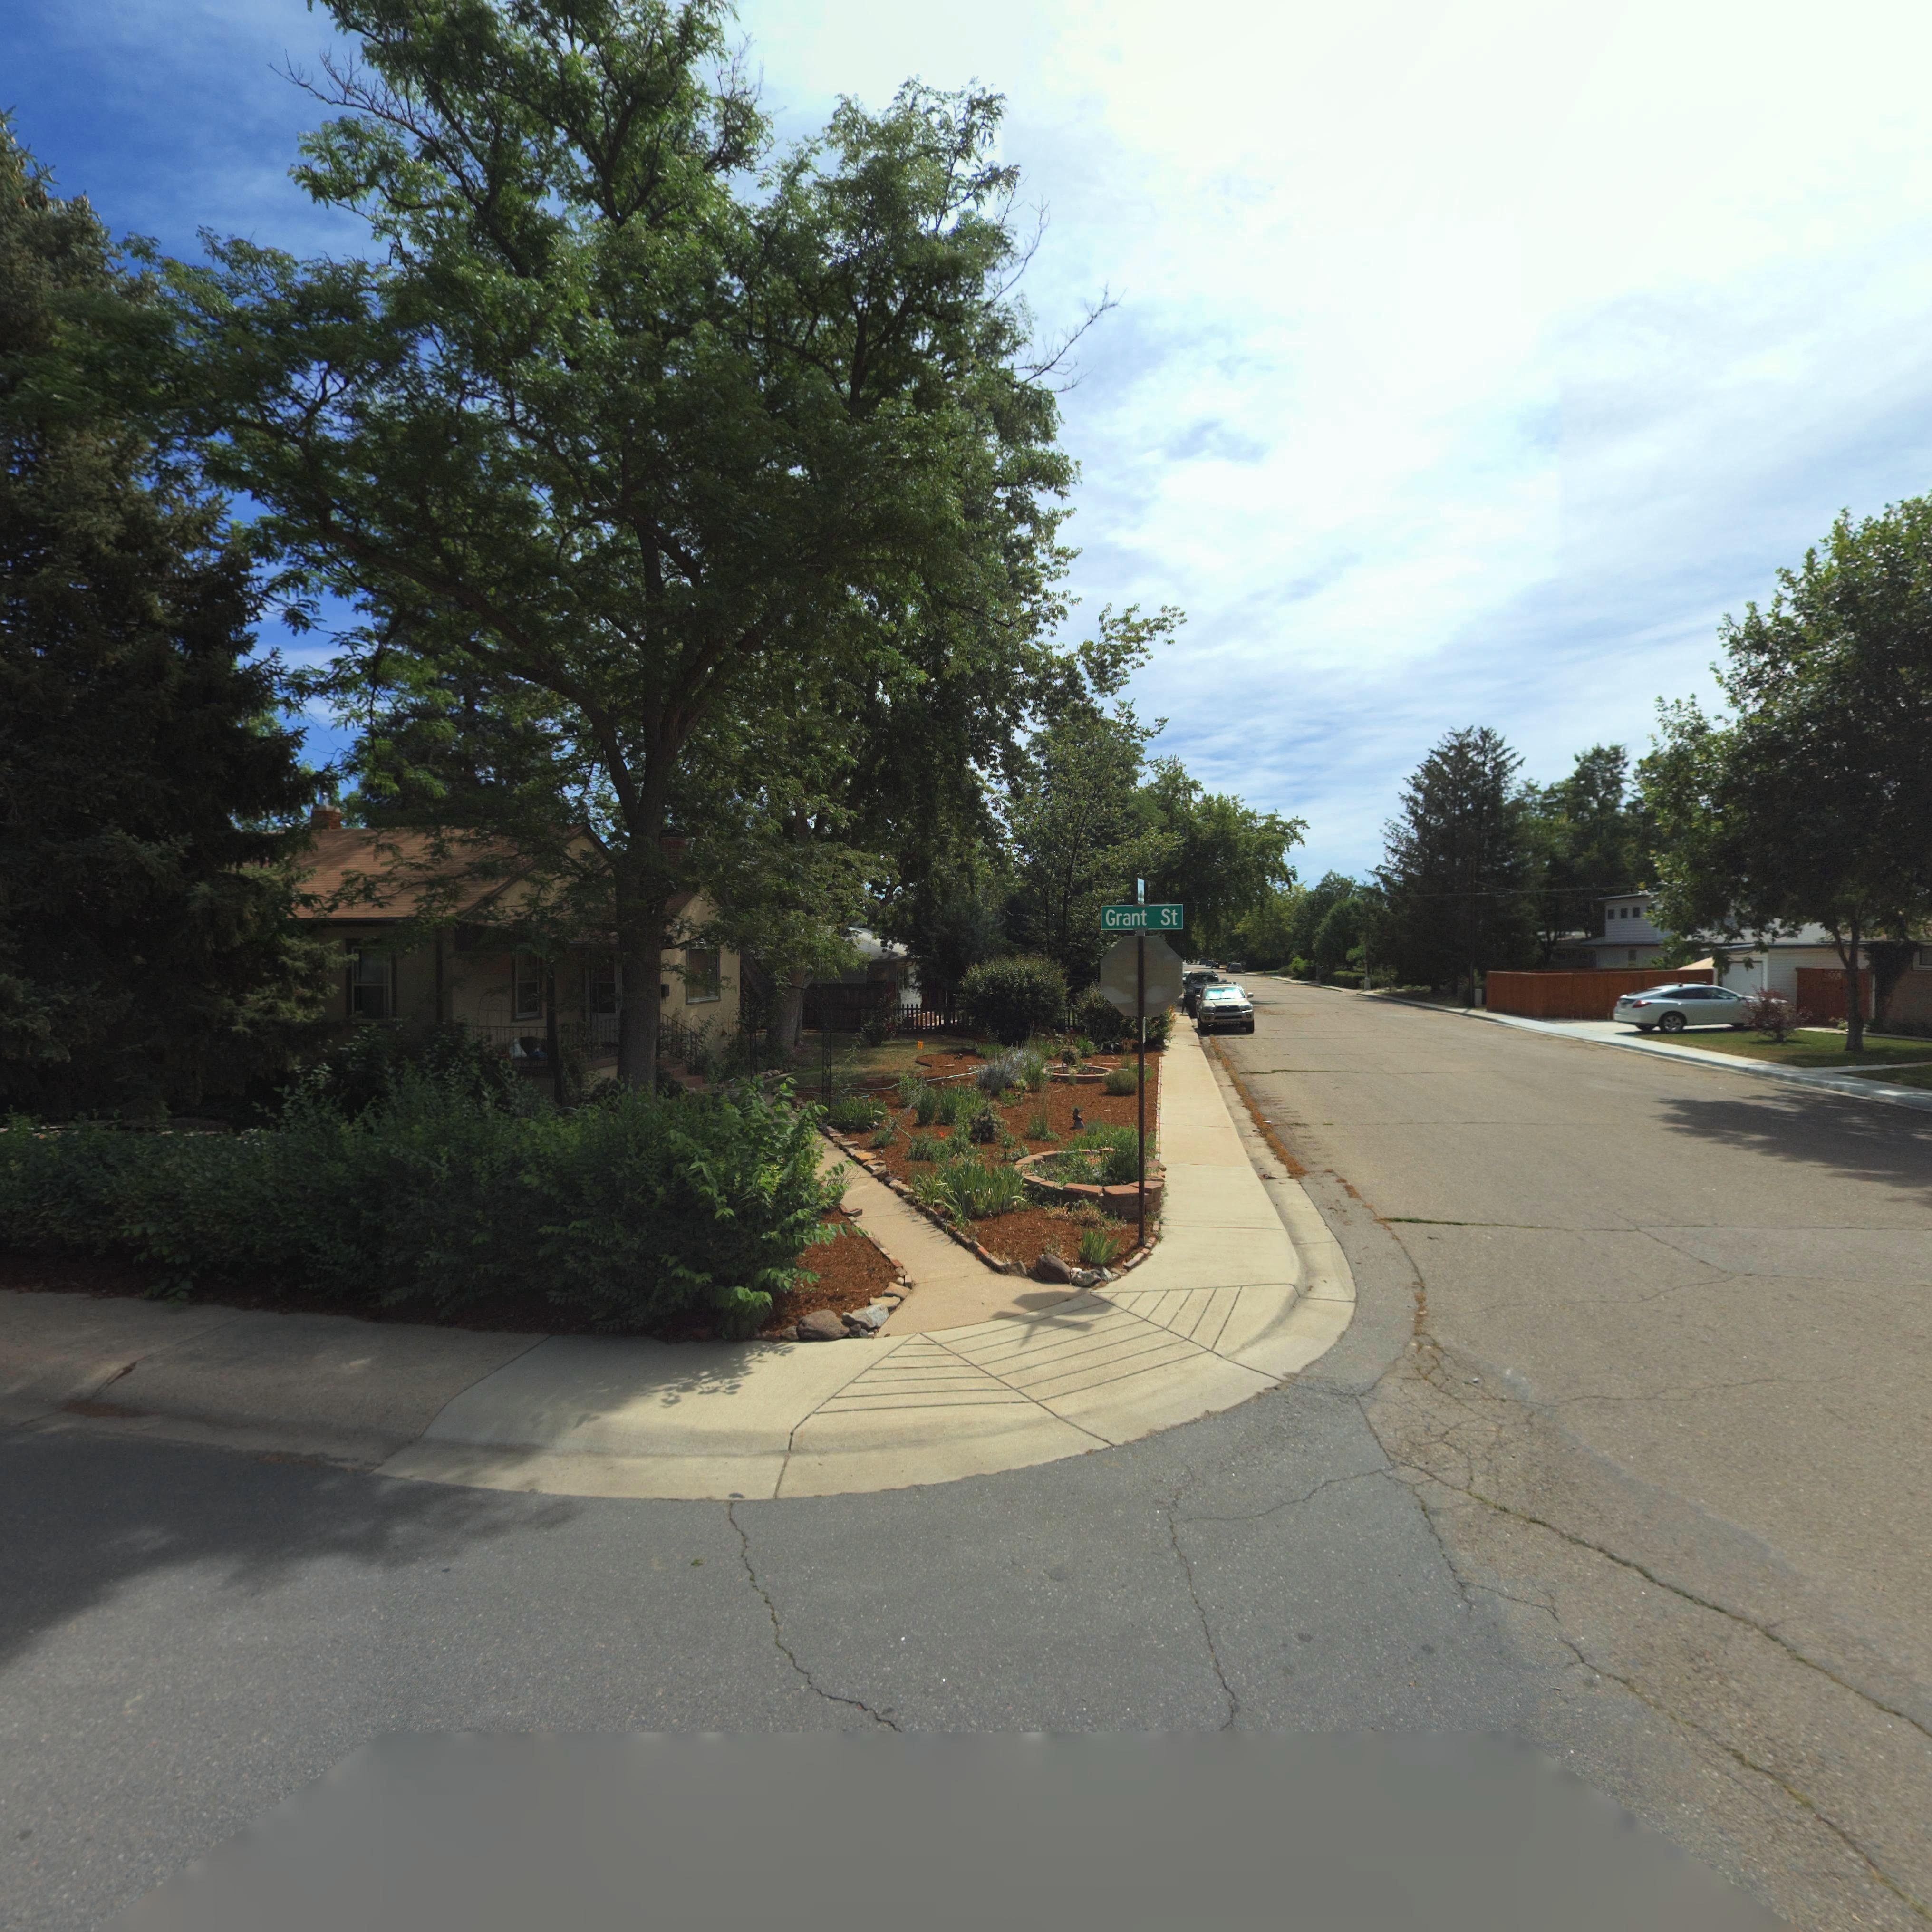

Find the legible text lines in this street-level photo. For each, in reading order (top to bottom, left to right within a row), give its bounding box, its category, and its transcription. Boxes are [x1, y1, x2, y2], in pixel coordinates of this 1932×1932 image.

[1105, 908, 1179, 927] StreetName: Grant St